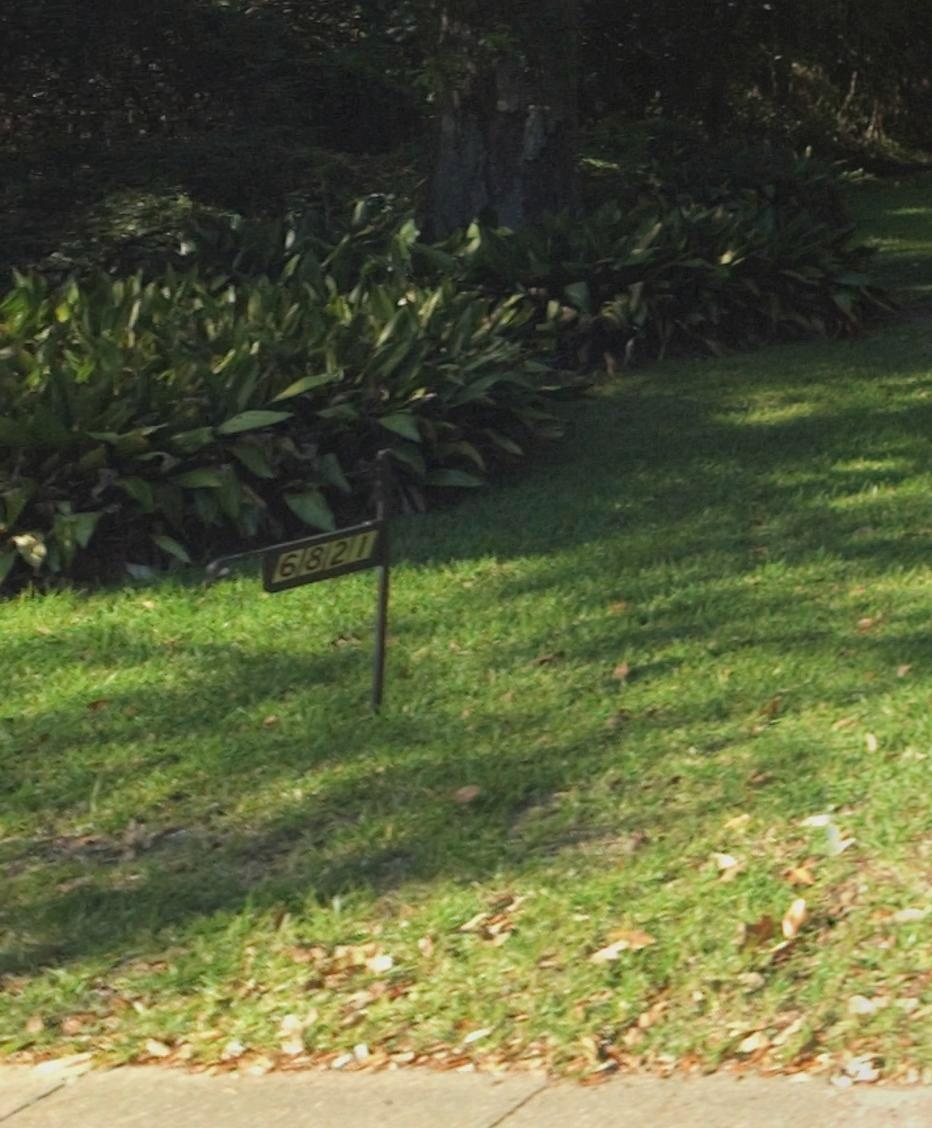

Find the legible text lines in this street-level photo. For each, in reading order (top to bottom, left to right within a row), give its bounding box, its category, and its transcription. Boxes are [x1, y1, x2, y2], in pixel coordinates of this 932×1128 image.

[277, 532, 371, 582] StreetNumber: 6821